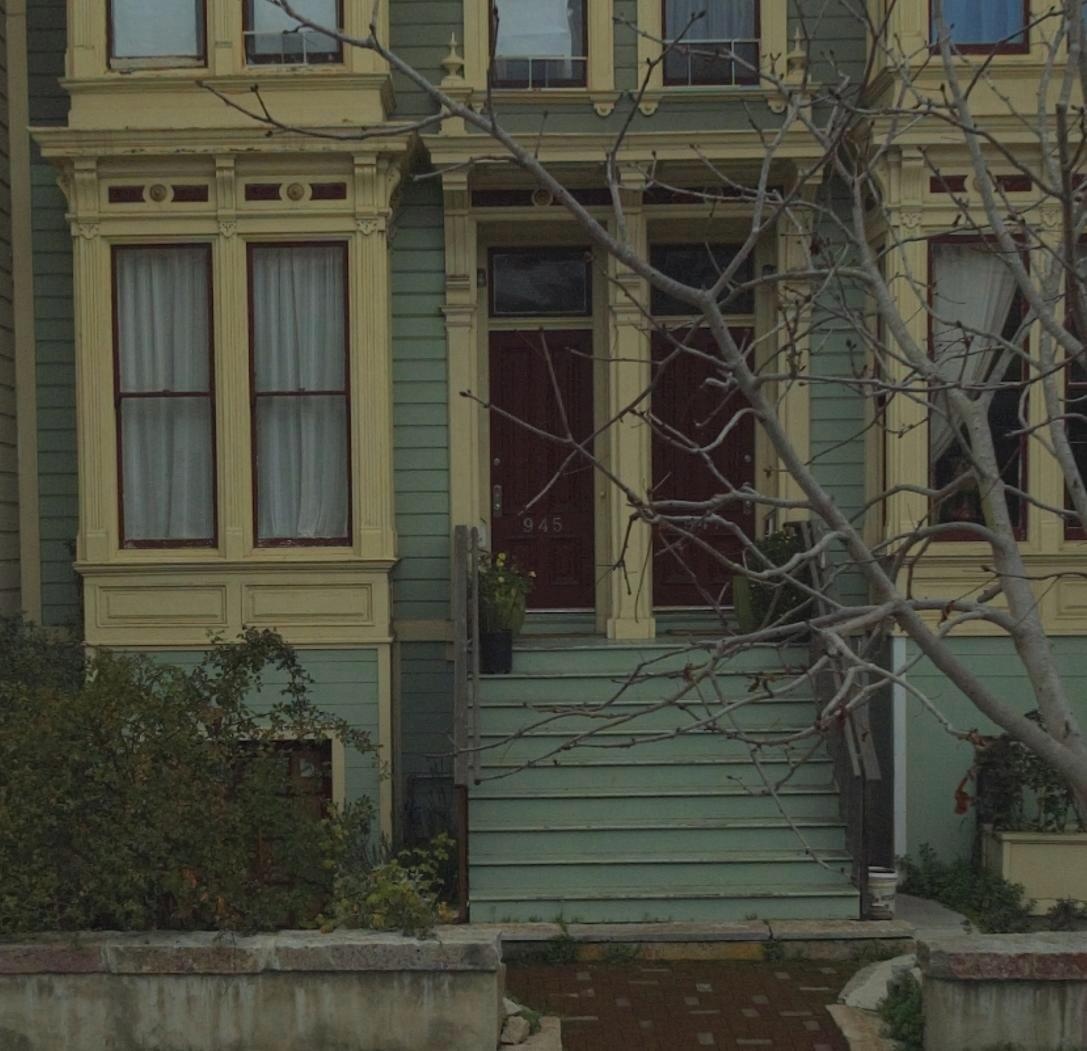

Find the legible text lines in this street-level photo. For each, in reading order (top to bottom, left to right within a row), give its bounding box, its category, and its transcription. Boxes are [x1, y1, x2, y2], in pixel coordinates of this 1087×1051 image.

[522, 516, 563, 534] StreetNumber: 945